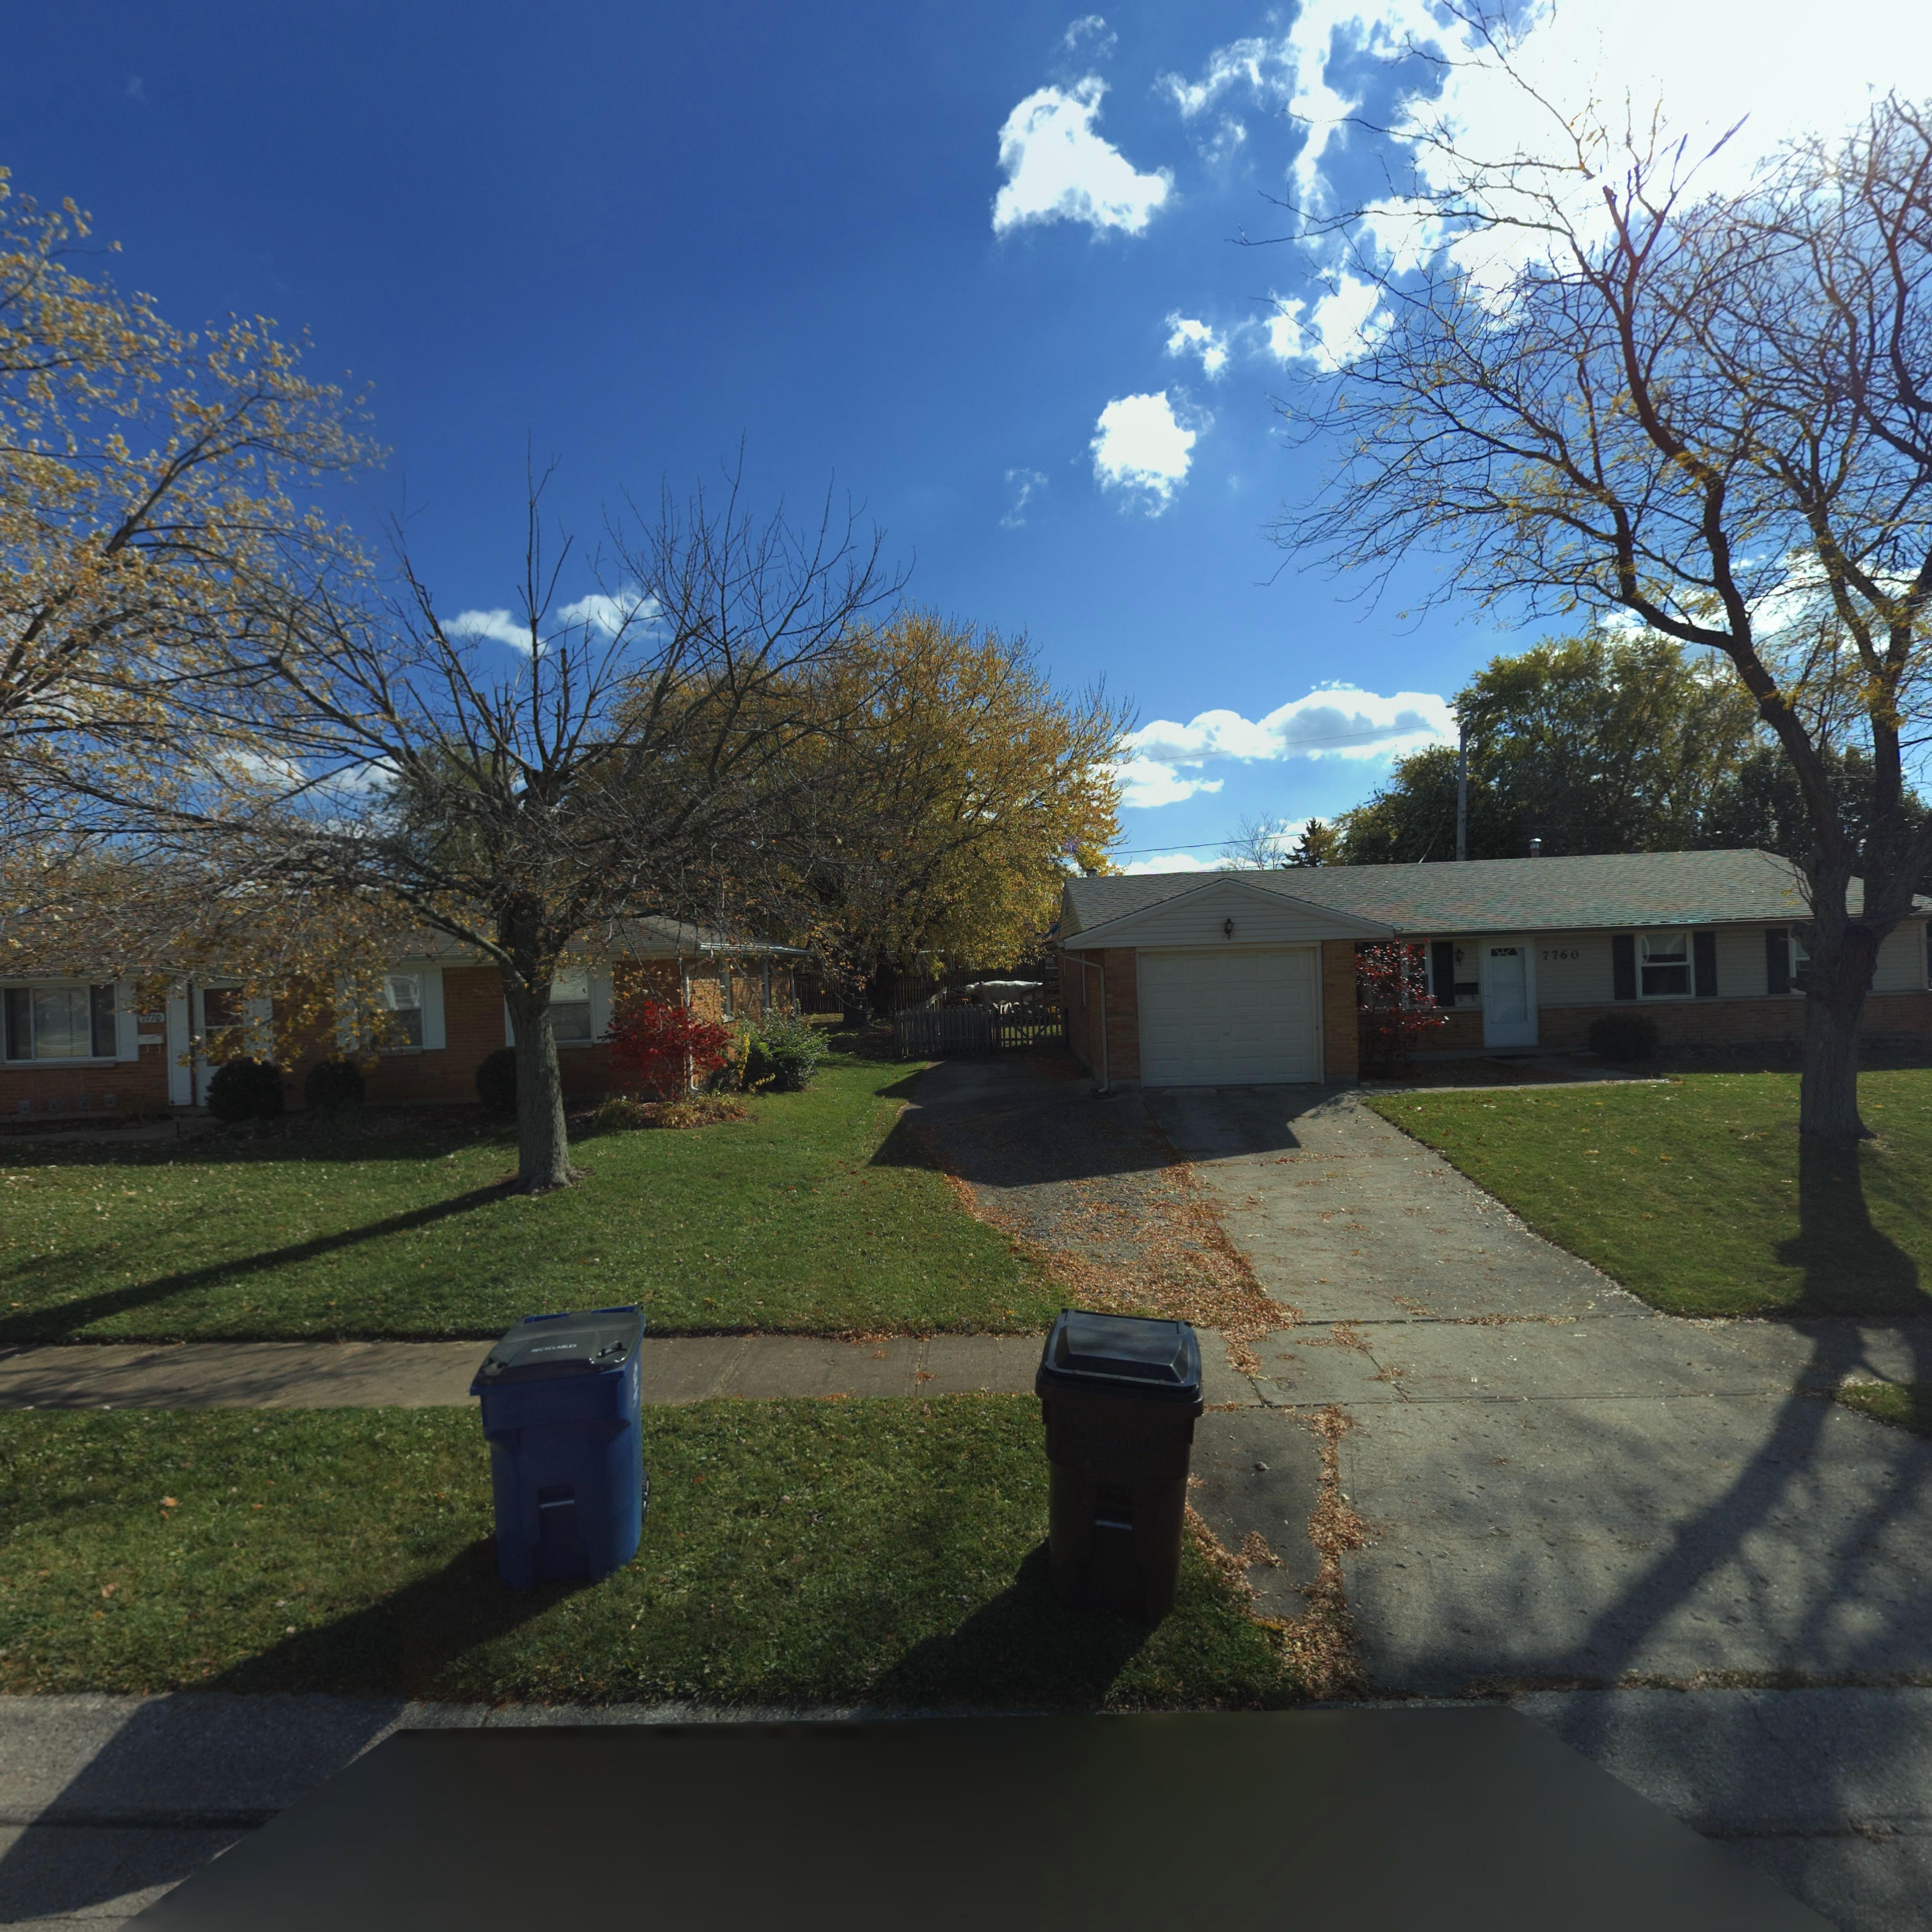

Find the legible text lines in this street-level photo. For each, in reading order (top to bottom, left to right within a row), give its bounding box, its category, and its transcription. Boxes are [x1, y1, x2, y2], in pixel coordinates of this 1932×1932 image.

[1542, 949, 1580, 961] StreetNumber: 7760
[141, 1014, 162, 1023] StreetNumber: 7770